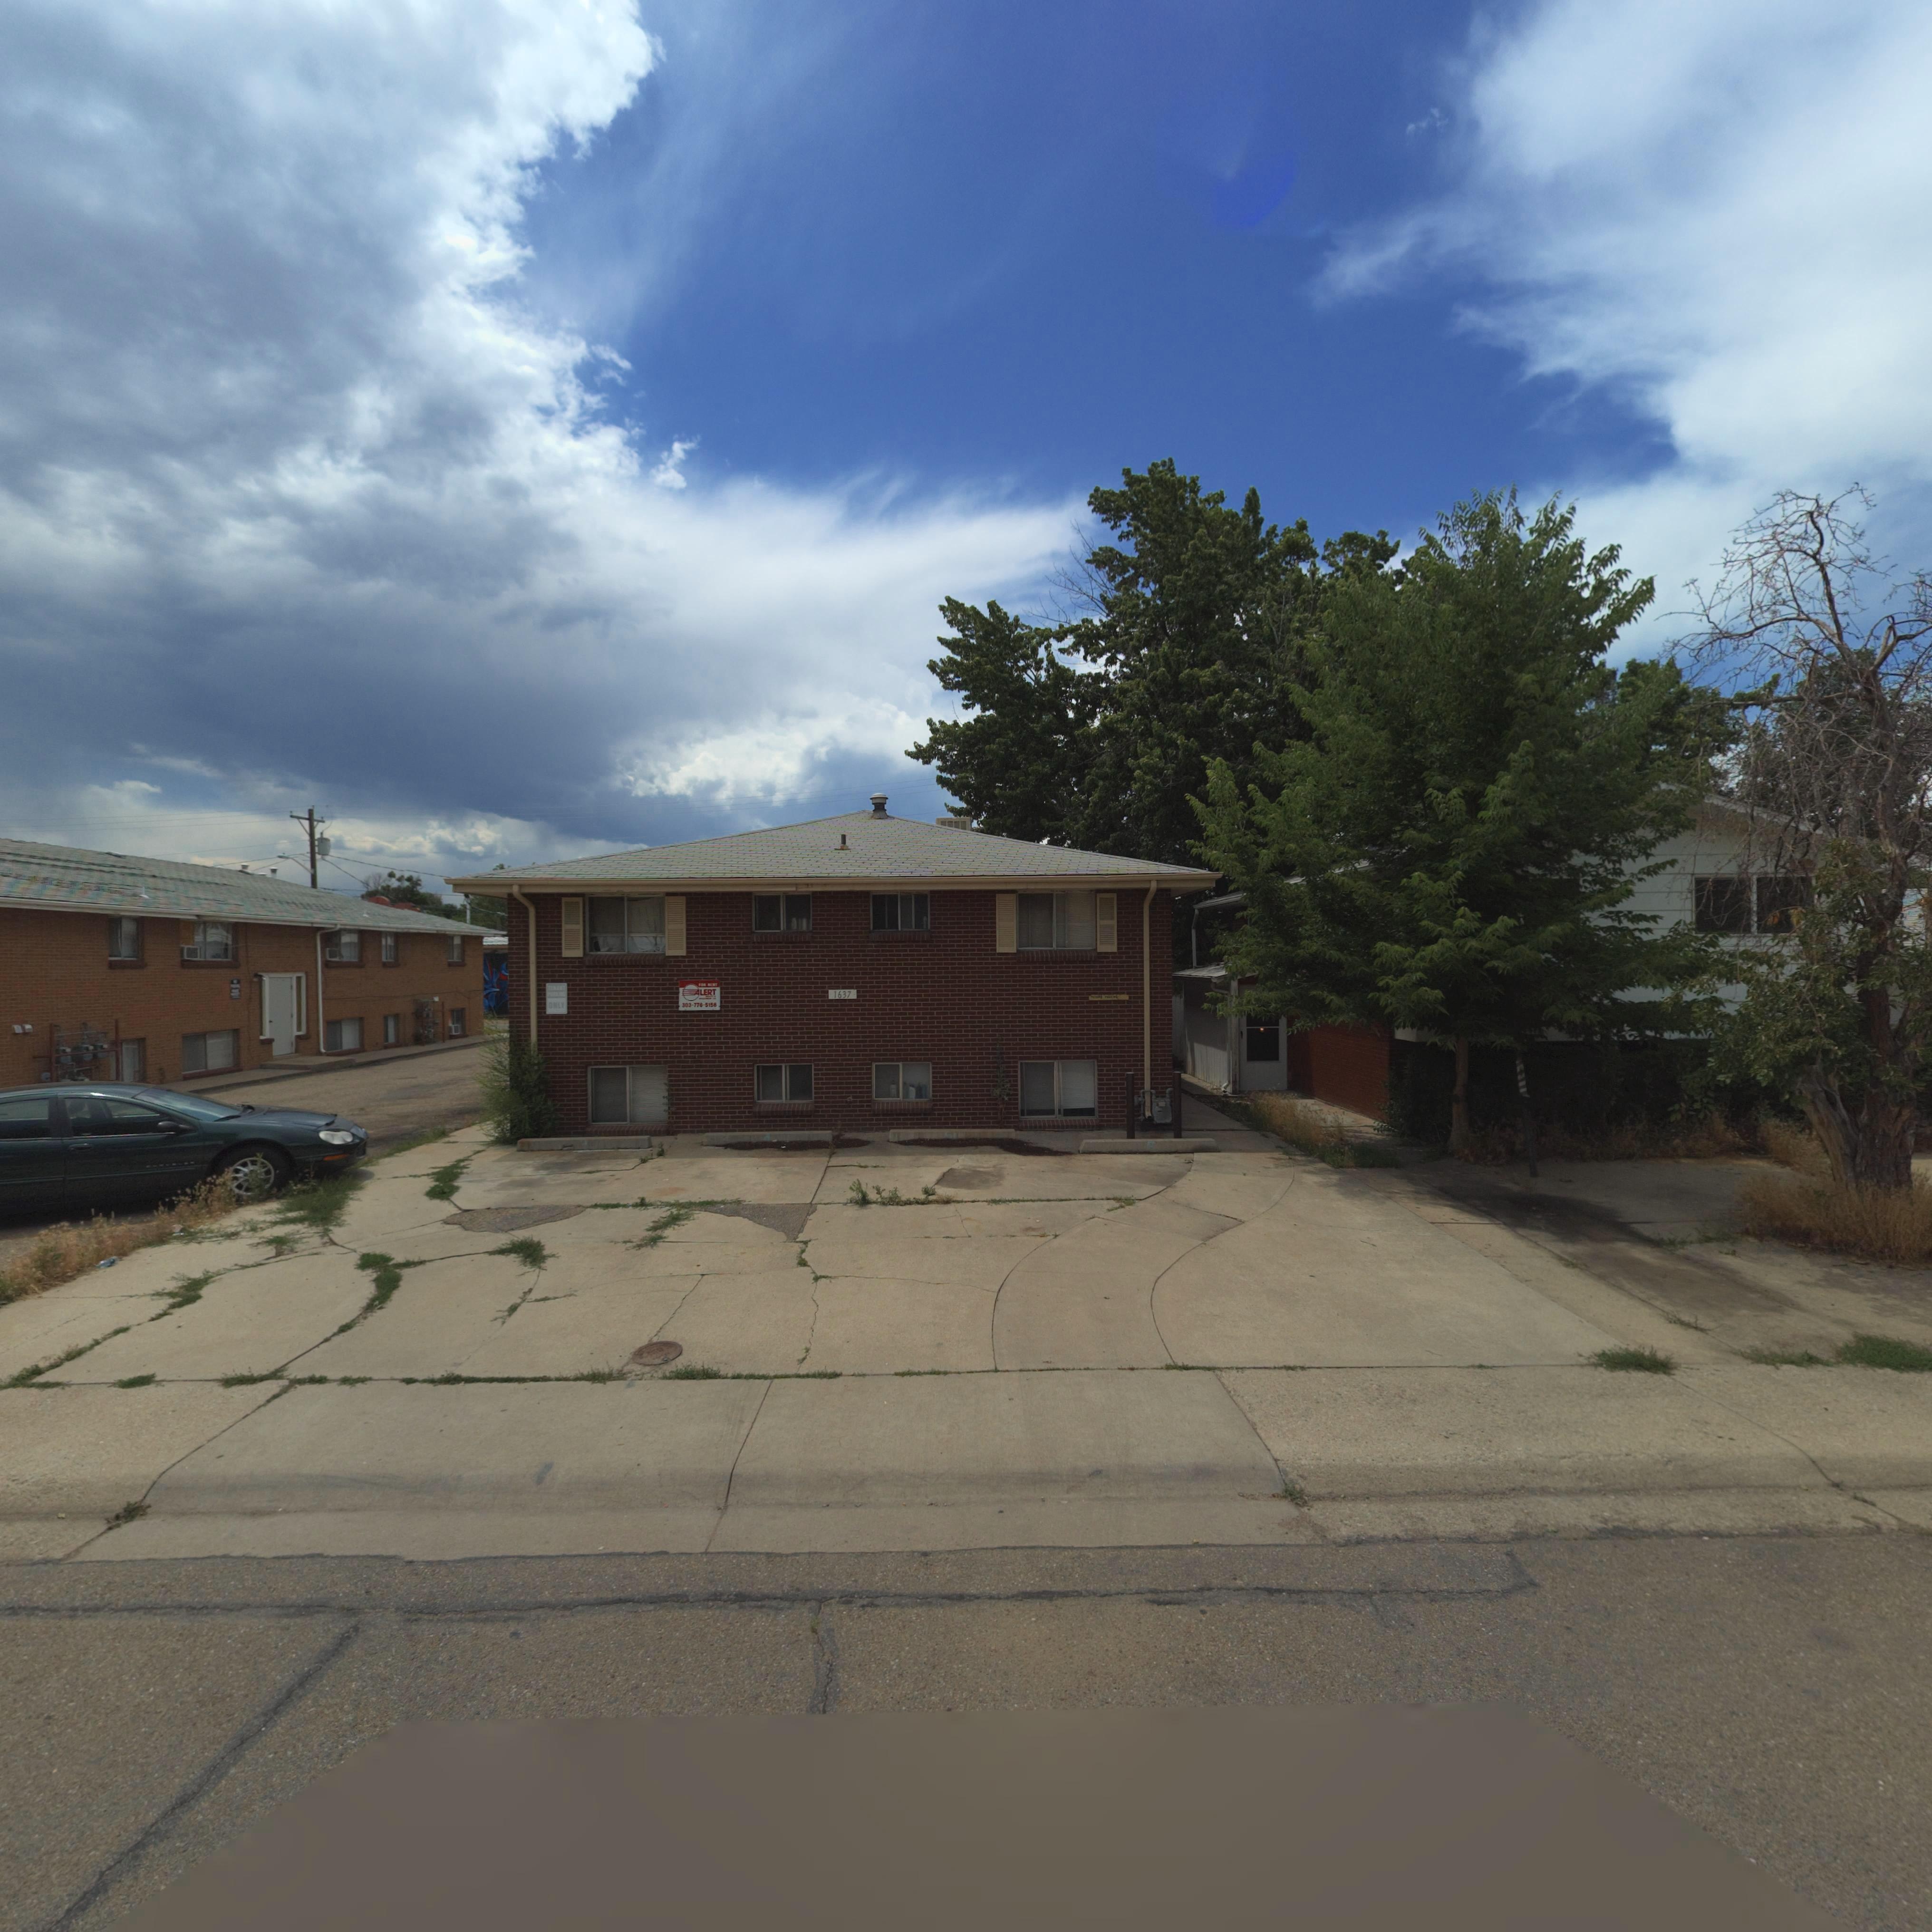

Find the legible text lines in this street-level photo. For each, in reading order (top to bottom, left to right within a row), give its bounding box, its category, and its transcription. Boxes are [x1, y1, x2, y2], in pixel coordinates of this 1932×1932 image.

[833, 990, 852, 999] StreetNumber: 1637